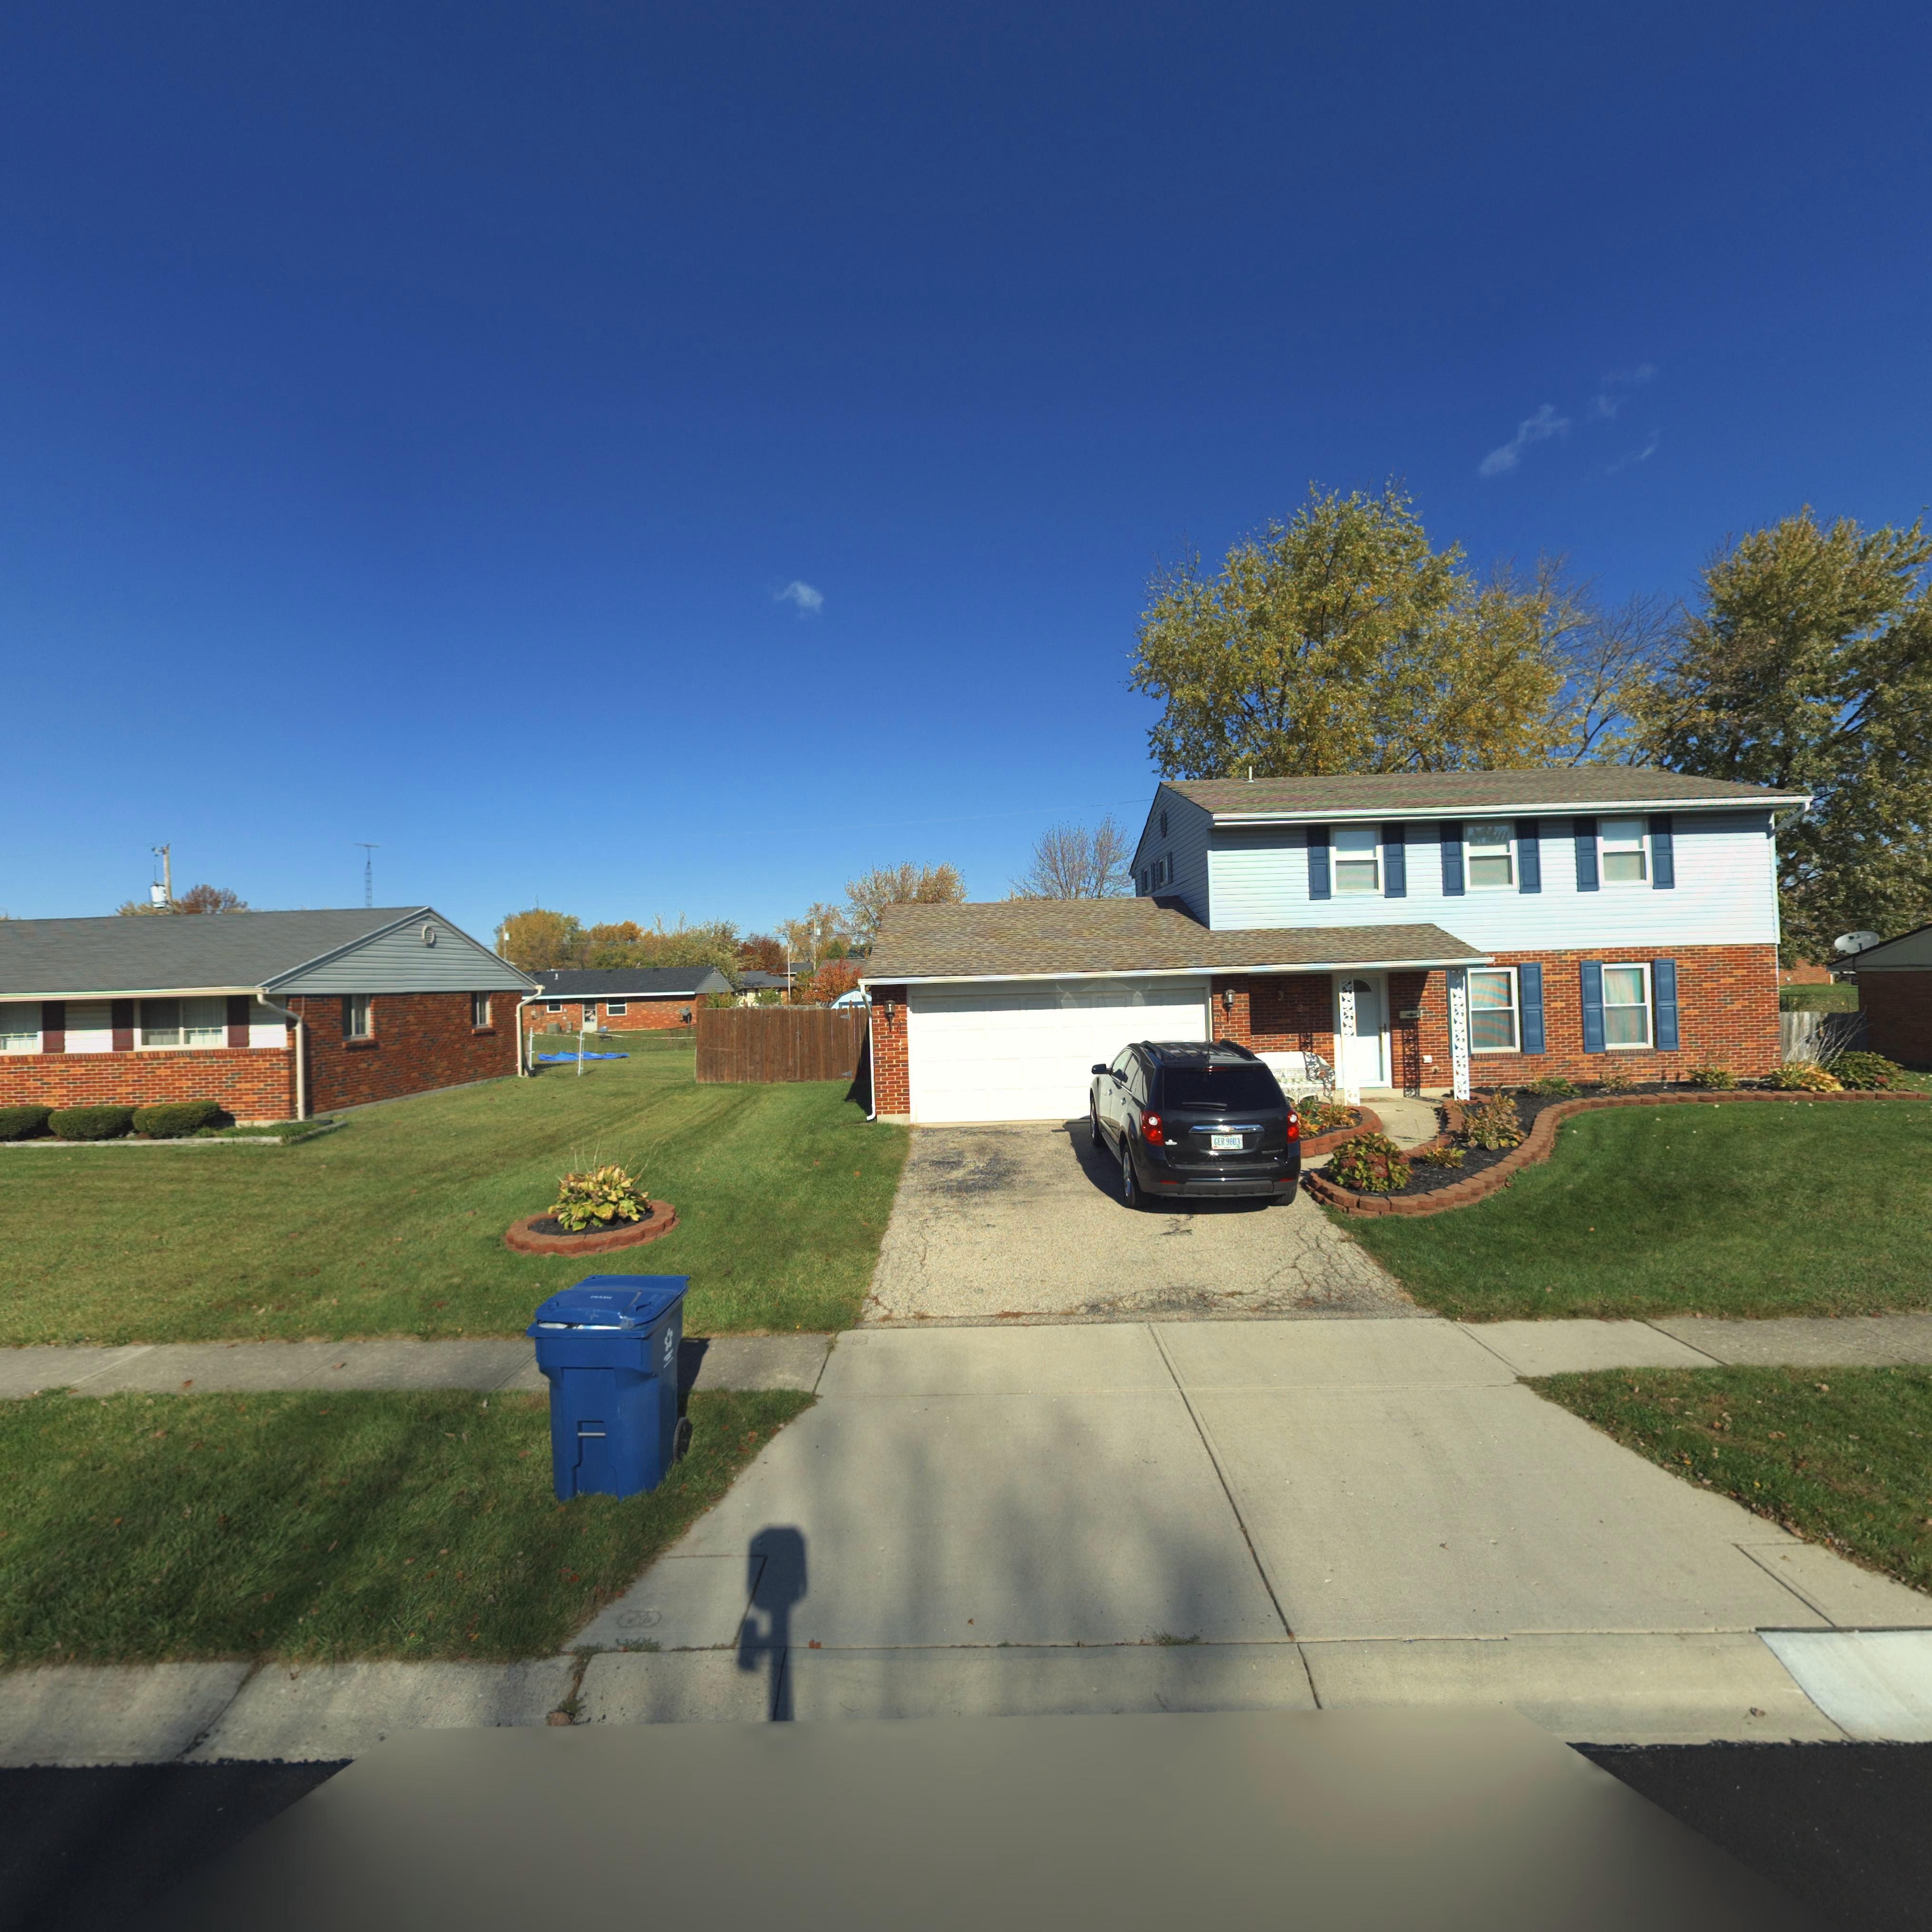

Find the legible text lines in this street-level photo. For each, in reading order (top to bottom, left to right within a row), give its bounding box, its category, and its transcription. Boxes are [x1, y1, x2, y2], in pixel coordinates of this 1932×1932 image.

[1291, 994, 1317, 1032] StreetNumber: 7221